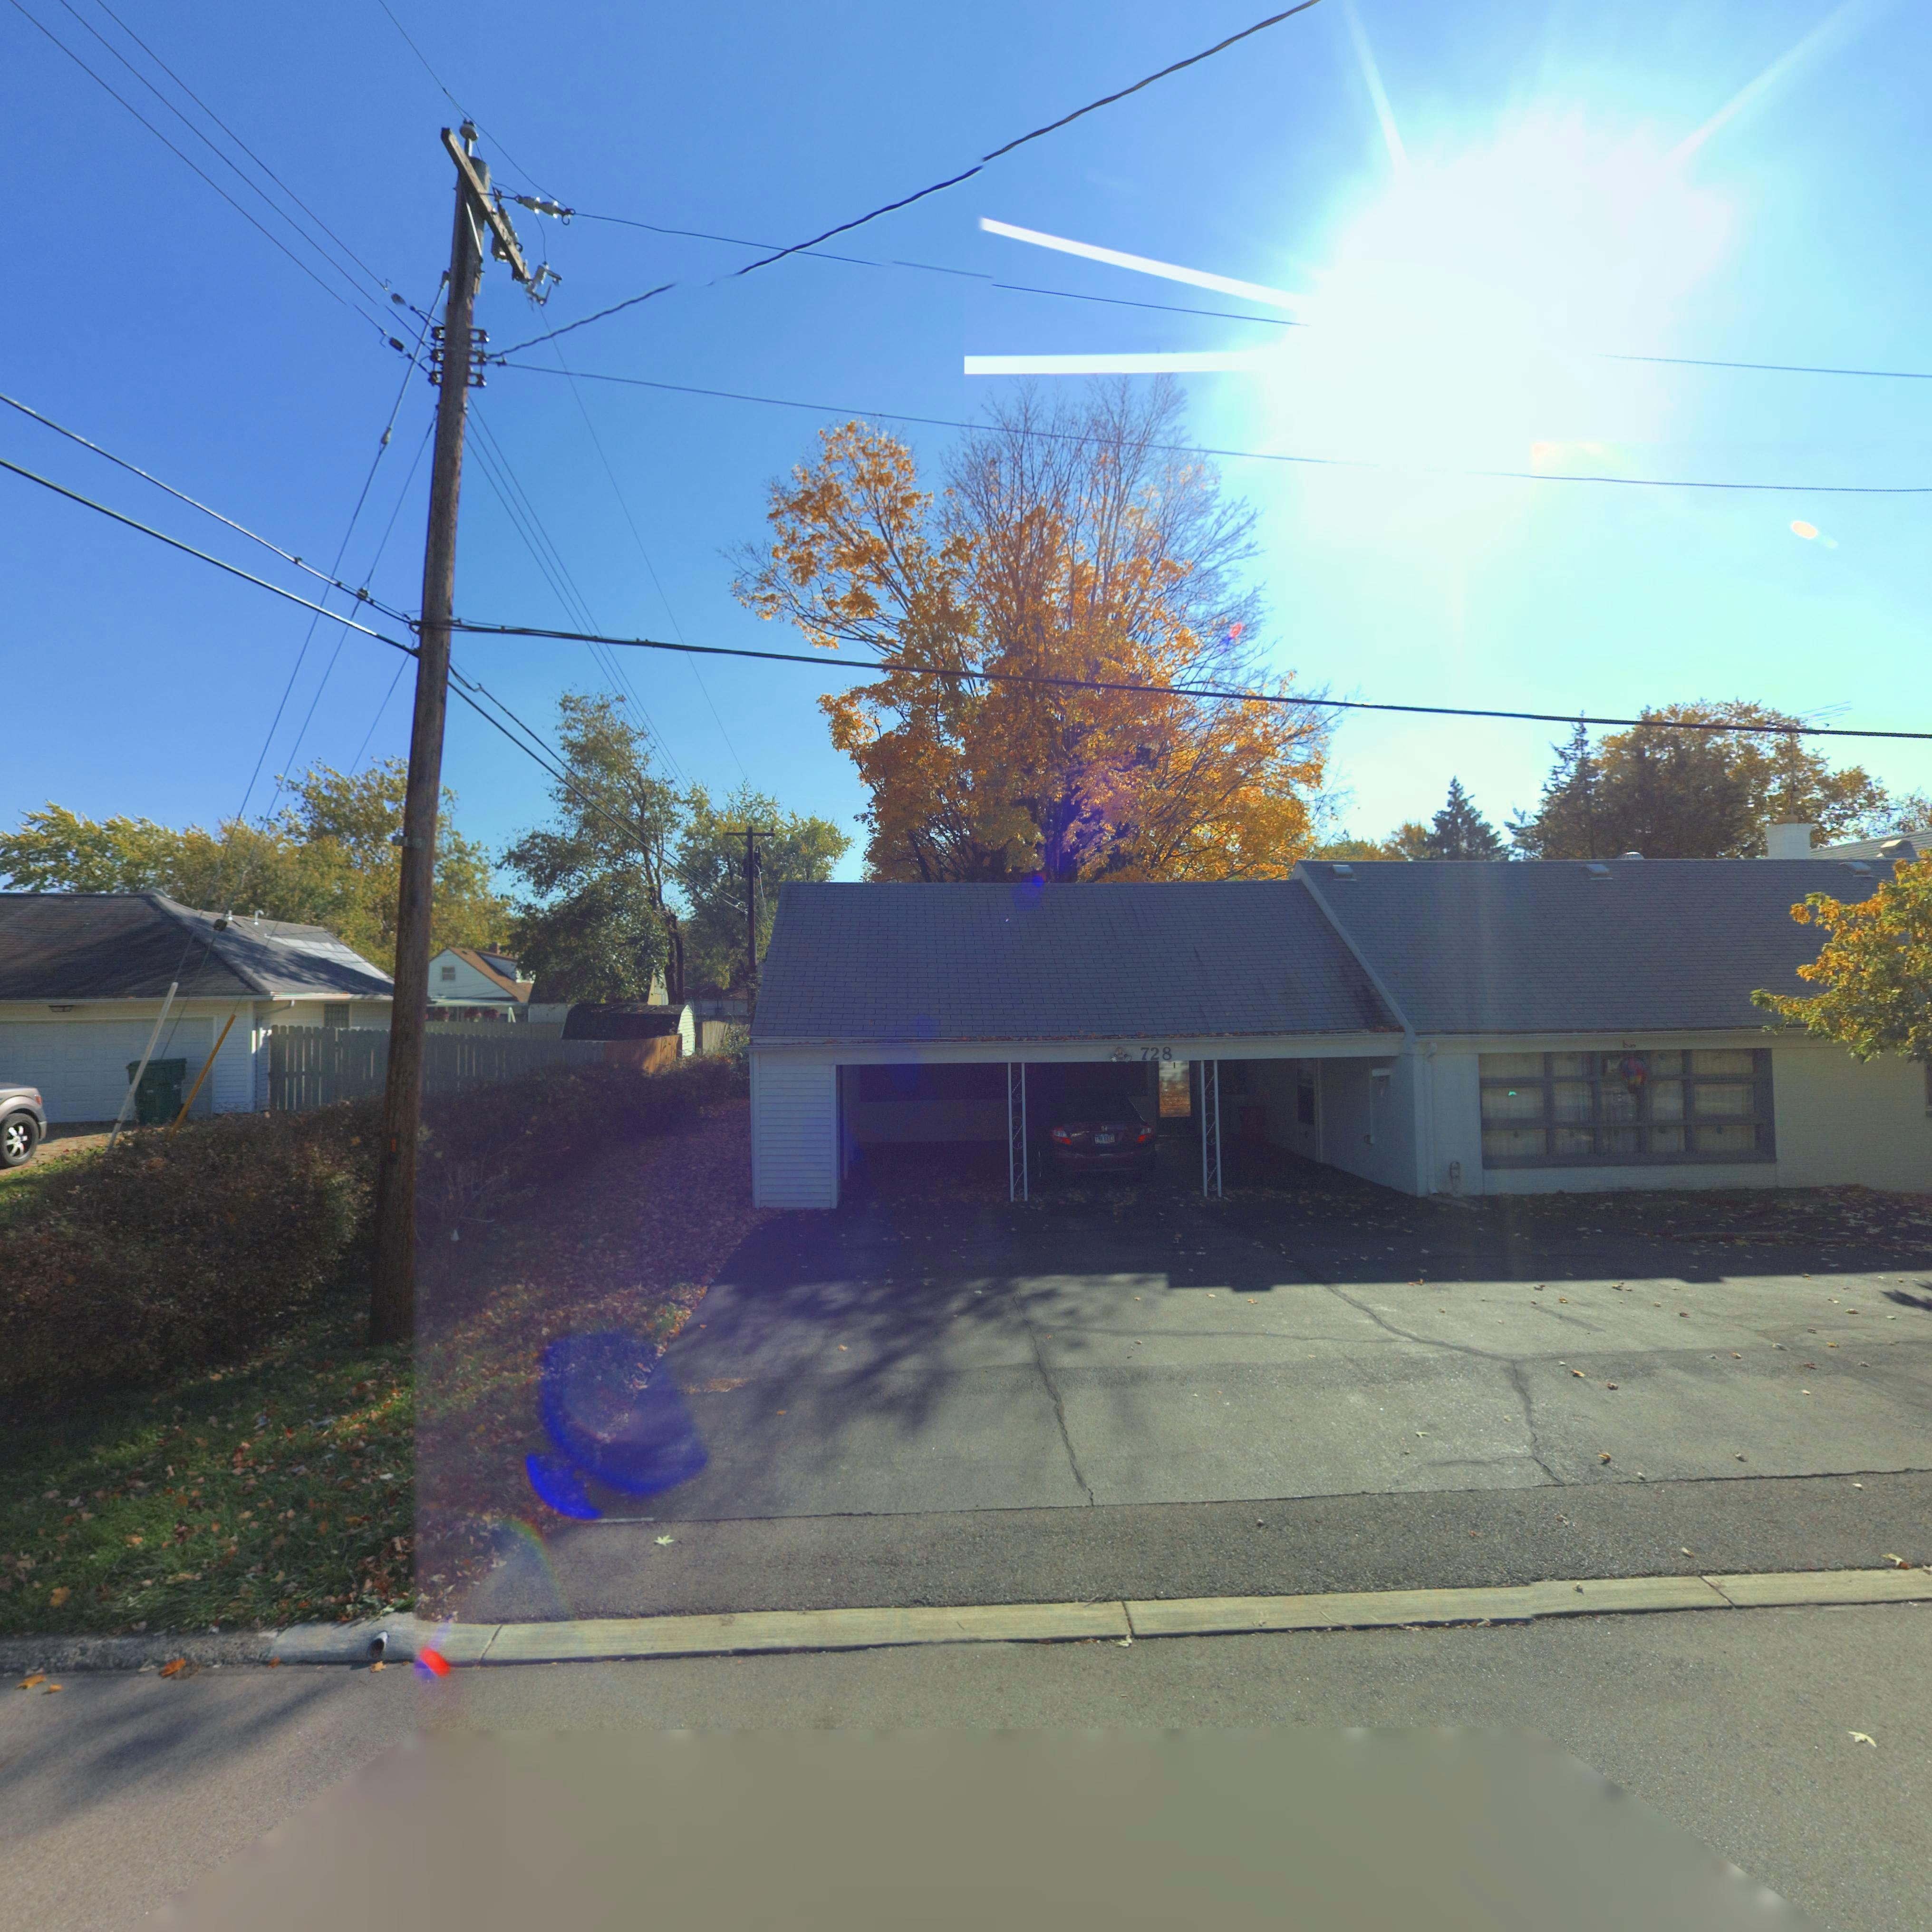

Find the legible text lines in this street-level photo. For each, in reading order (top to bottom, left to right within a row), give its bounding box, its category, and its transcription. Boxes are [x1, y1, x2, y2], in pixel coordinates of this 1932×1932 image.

[1140, 1045, 1173, 1061] StreetNumber: 728
[1103, 1135, 1114, 1142] None: 6643